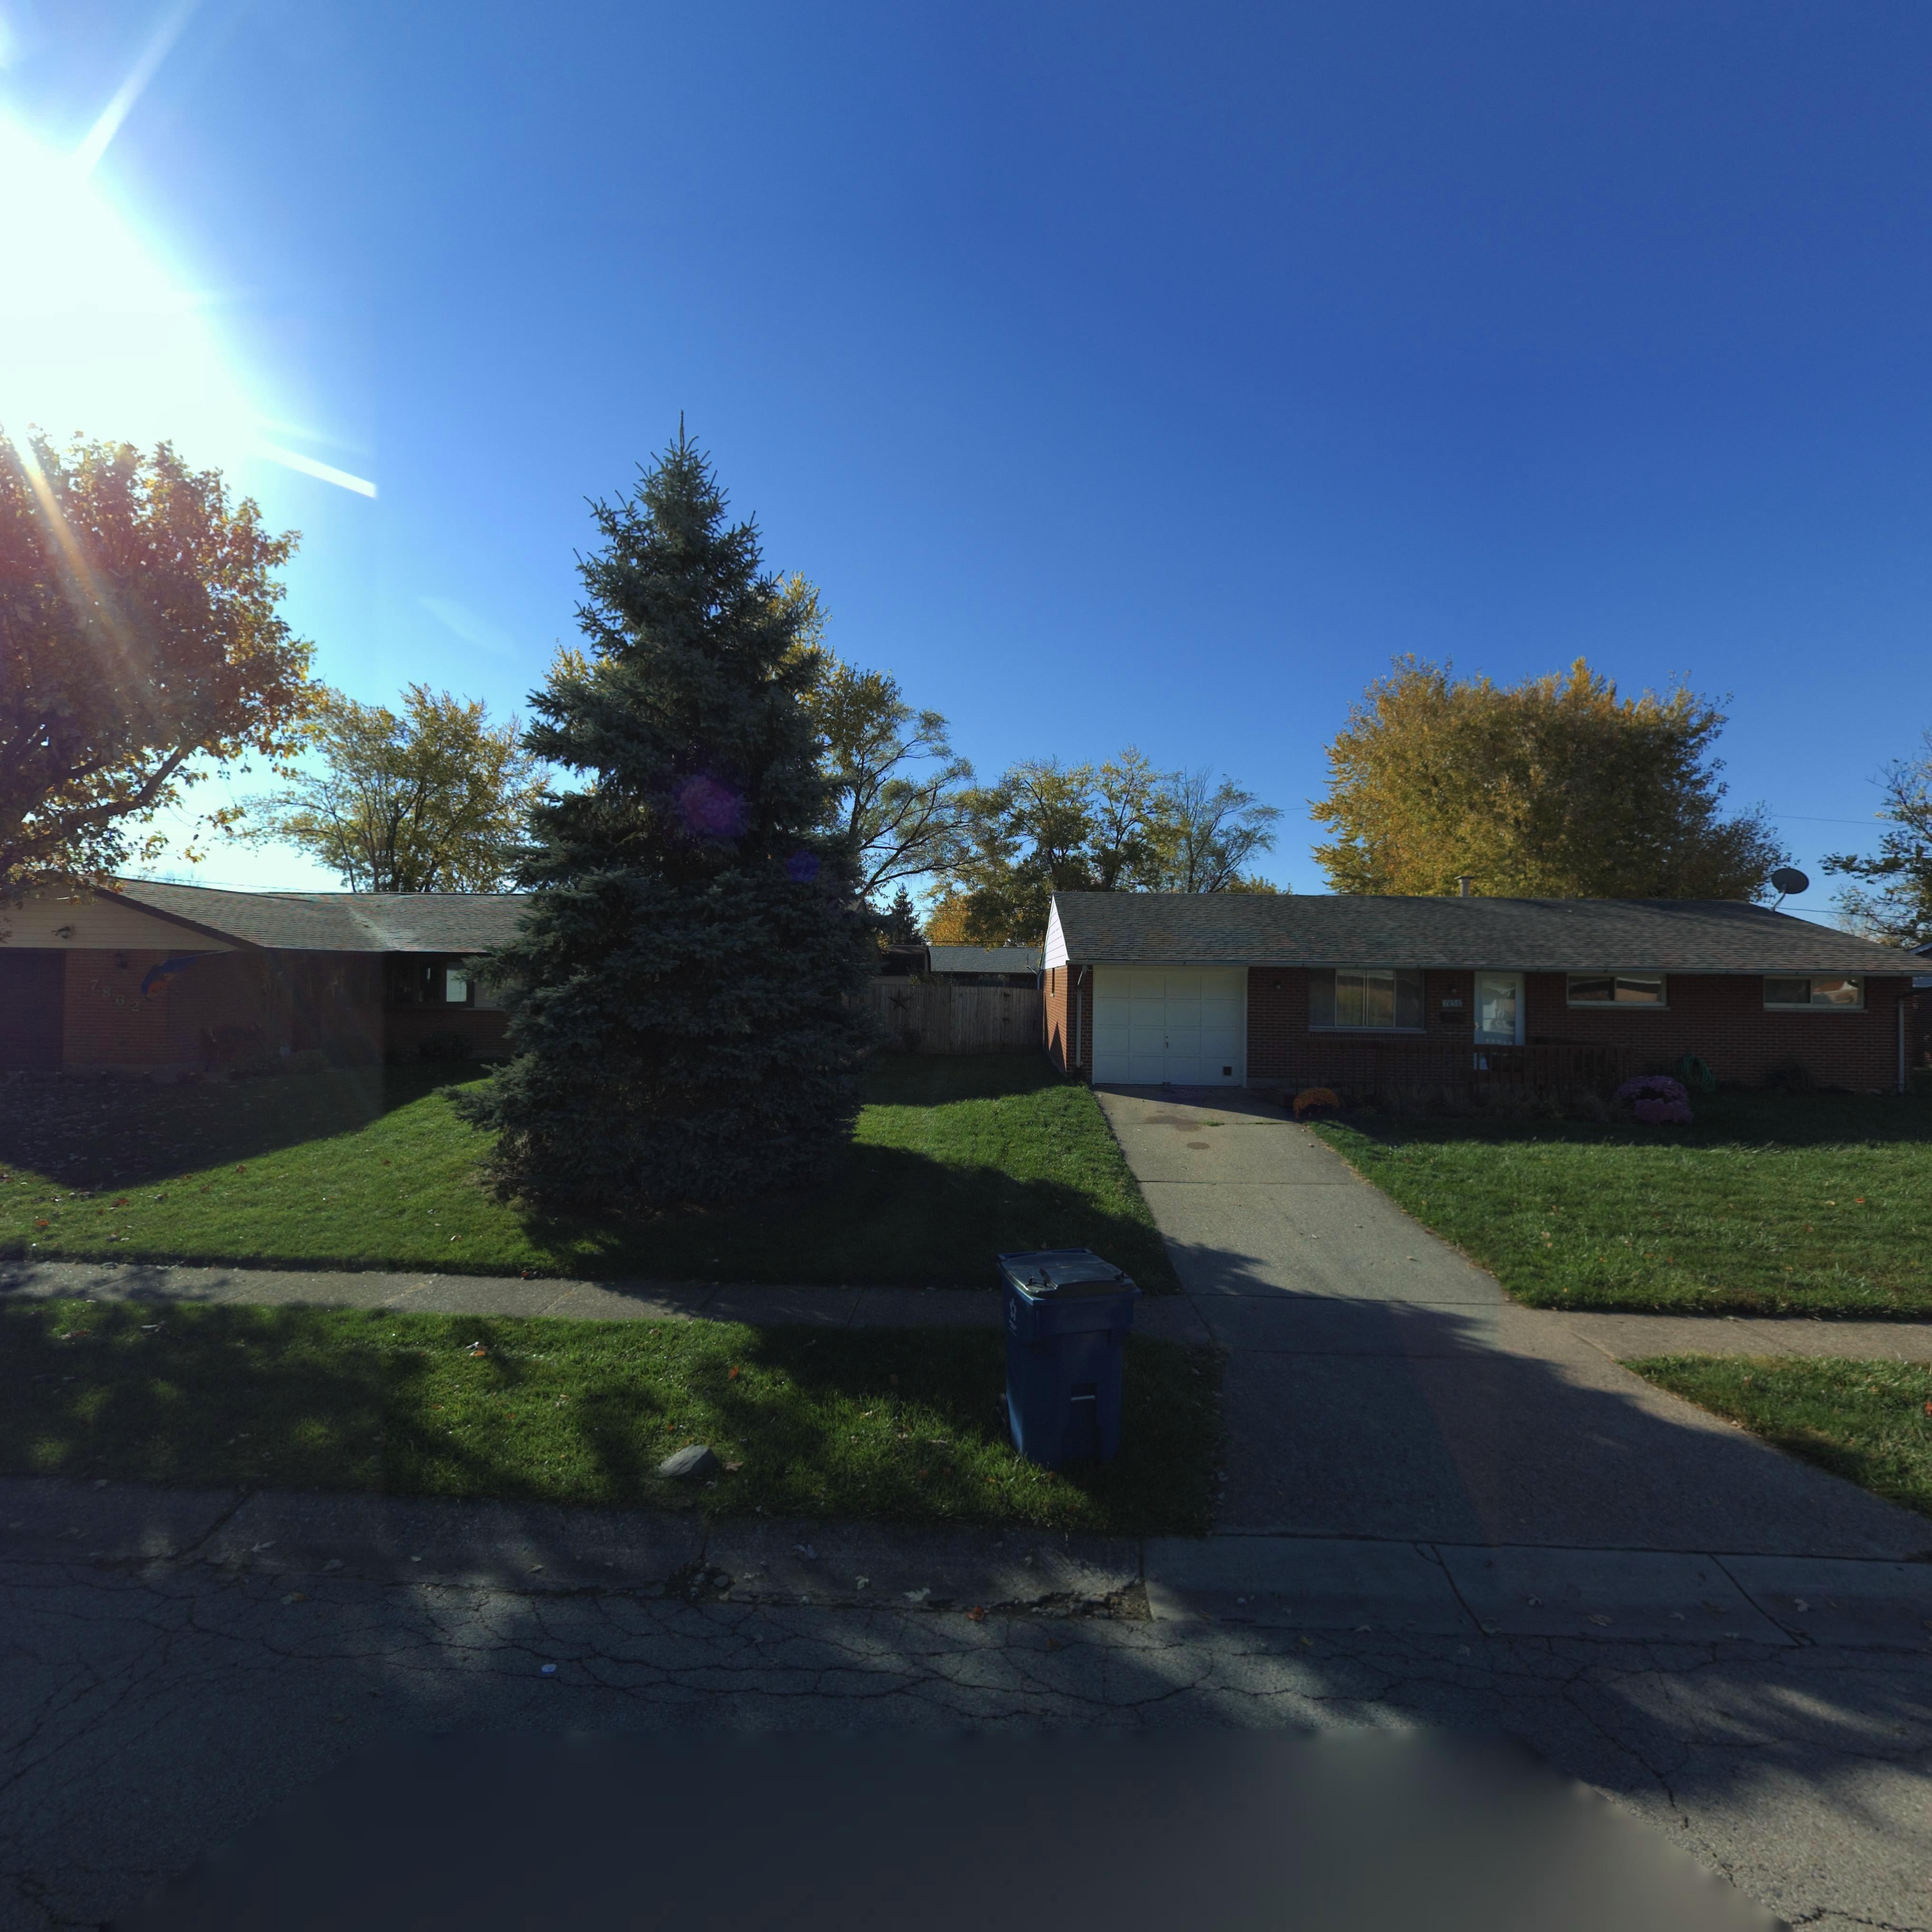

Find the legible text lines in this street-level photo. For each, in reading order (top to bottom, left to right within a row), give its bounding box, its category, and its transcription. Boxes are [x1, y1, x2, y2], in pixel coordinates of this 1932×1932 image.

[90, 979, 140, 1012] StreetNumber: 7862
[1443, 1000, 1462, 1007] StreetNumber: 7858